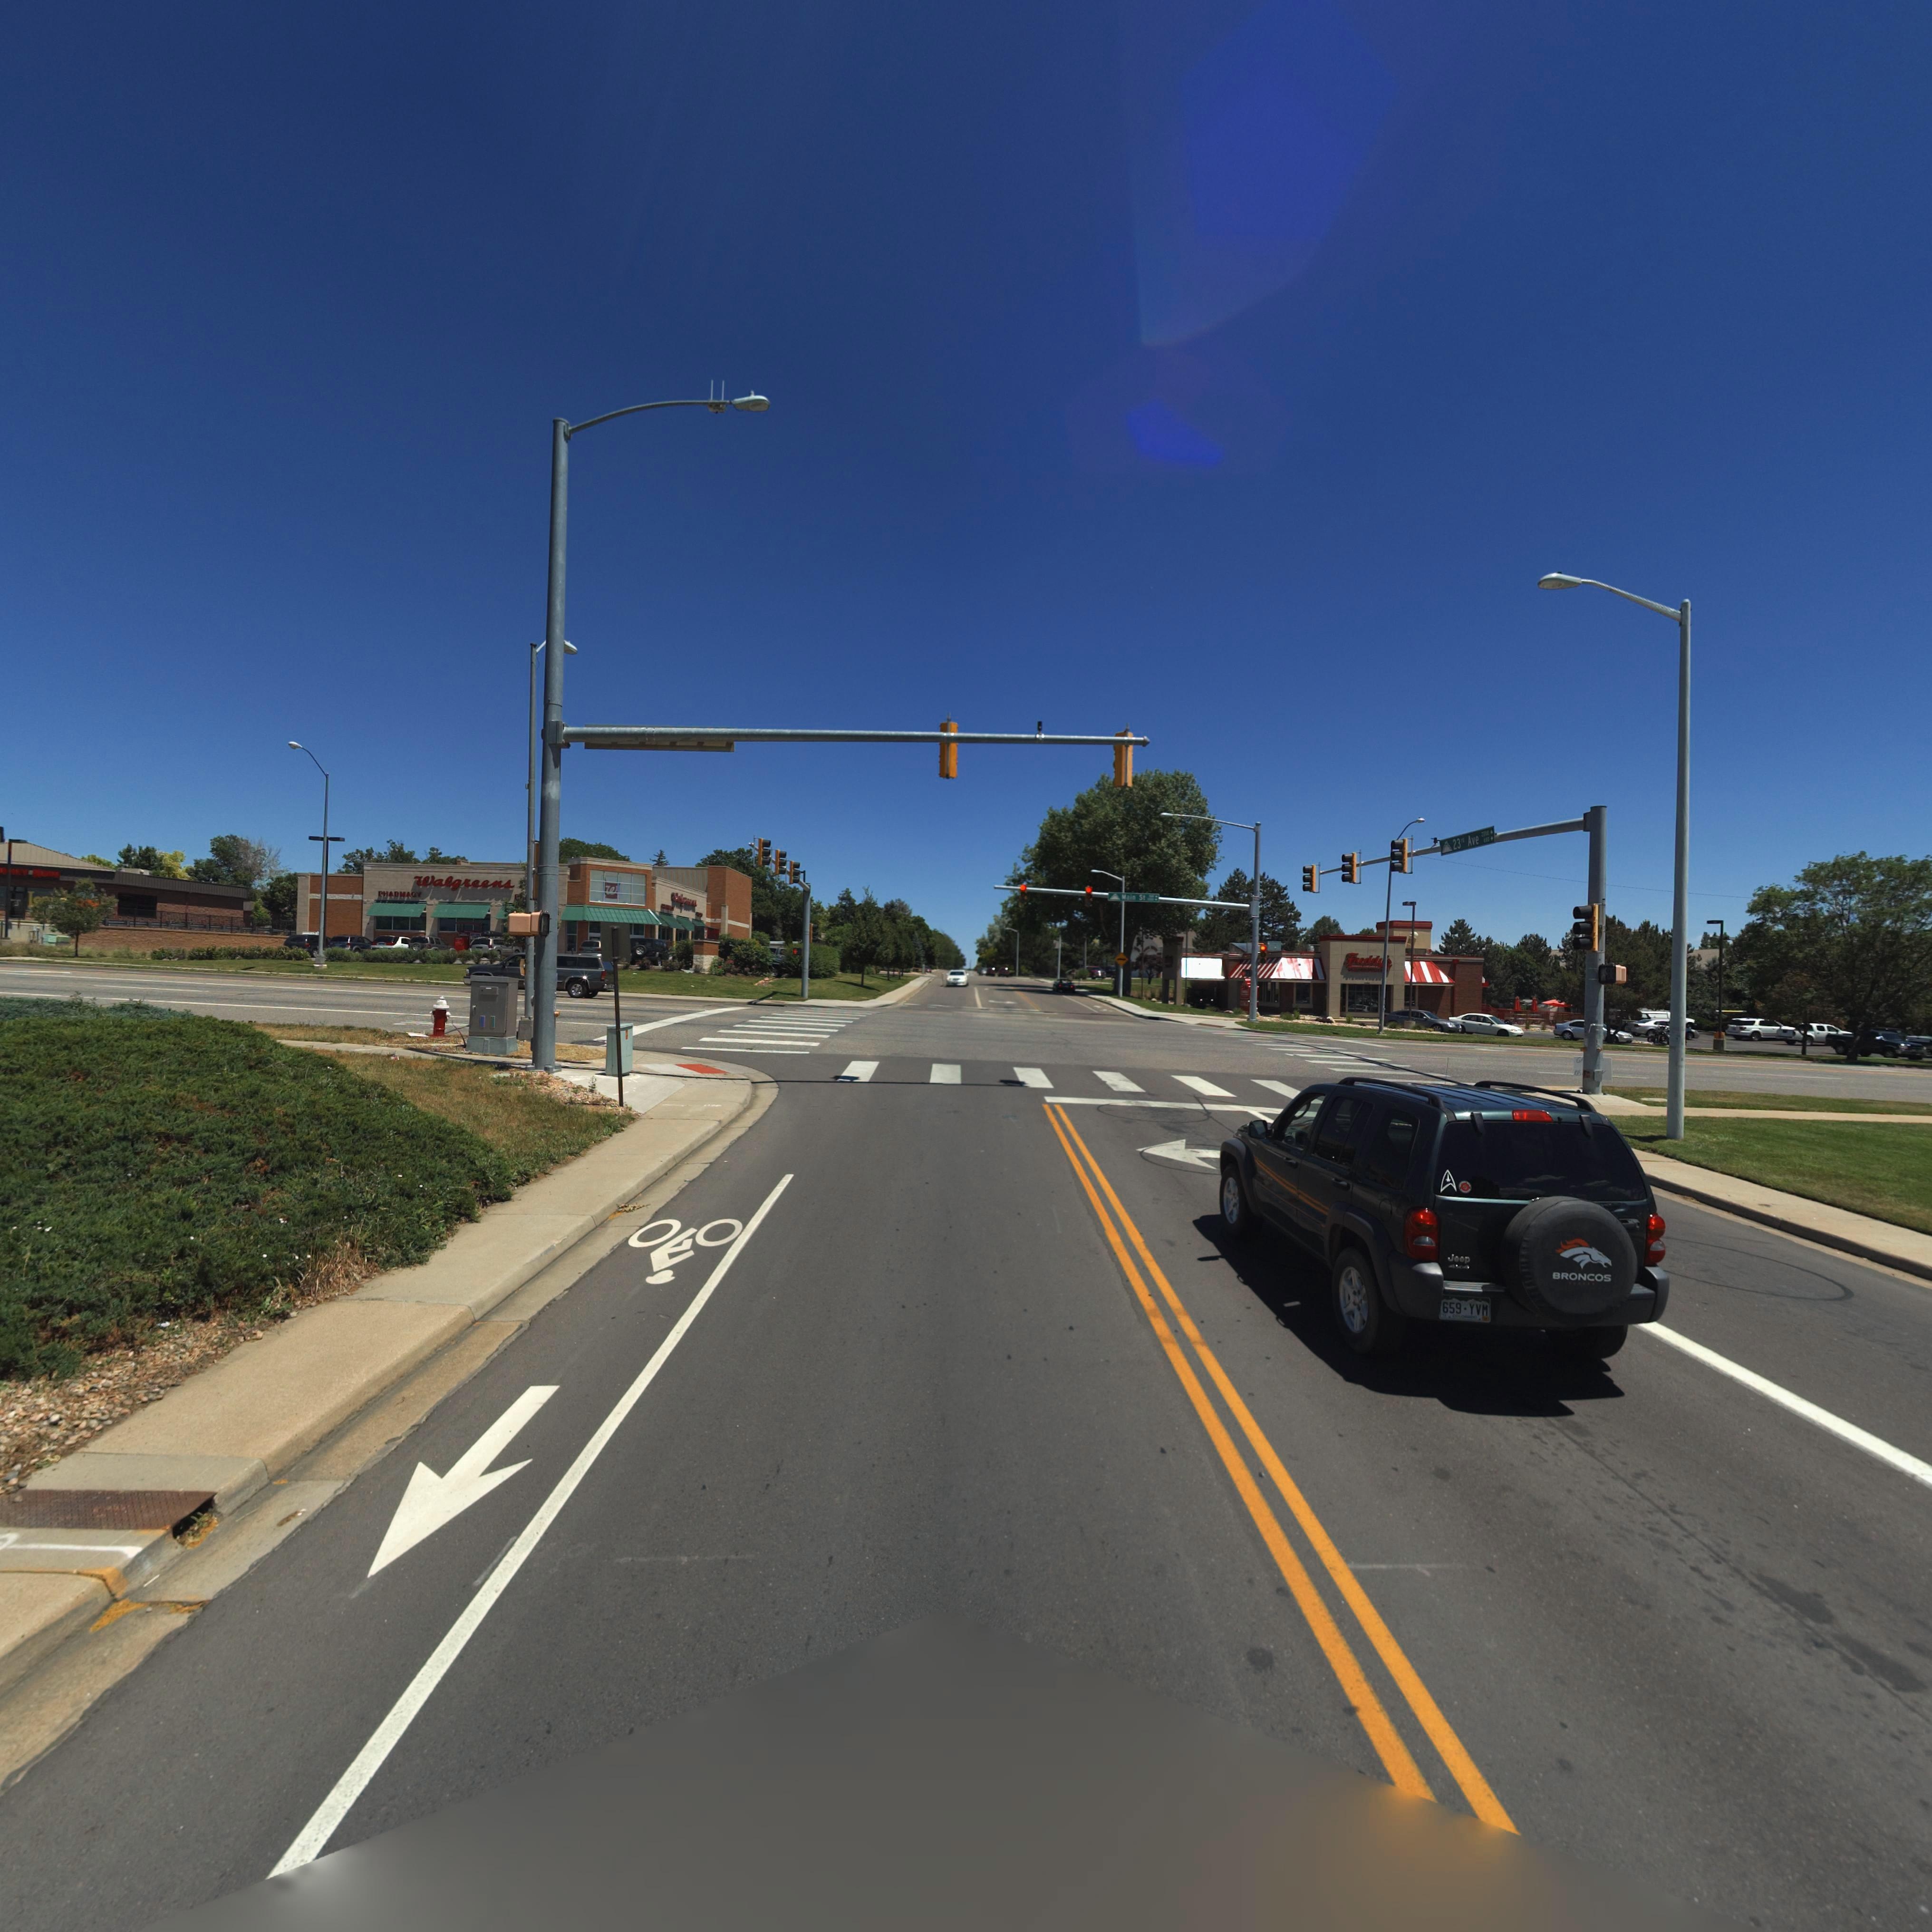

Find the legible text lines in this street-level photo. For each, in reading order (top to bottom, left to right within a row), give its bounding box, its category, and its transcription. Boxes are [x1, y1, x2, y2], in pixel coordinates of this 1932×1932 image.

[1451, 835, 1479, 850] StreetName: 23rd Ave
[1481, 830, 1489, 837] StreetNumberRange: 2200
[1483, 835, 1494, 843] StreetNumberRange: *00->
[1, 867, 61, 879] BusinessName: **EY N**
[414, 875, 515, 891] BusinessName: Walgreens
[672, 892, 697, 907] BusinessName: Walgreens
[1121, 893, 1146, 900] StreetName: Main St
[1342, 952, 1392, 968] BusinessName: Fredd*'*